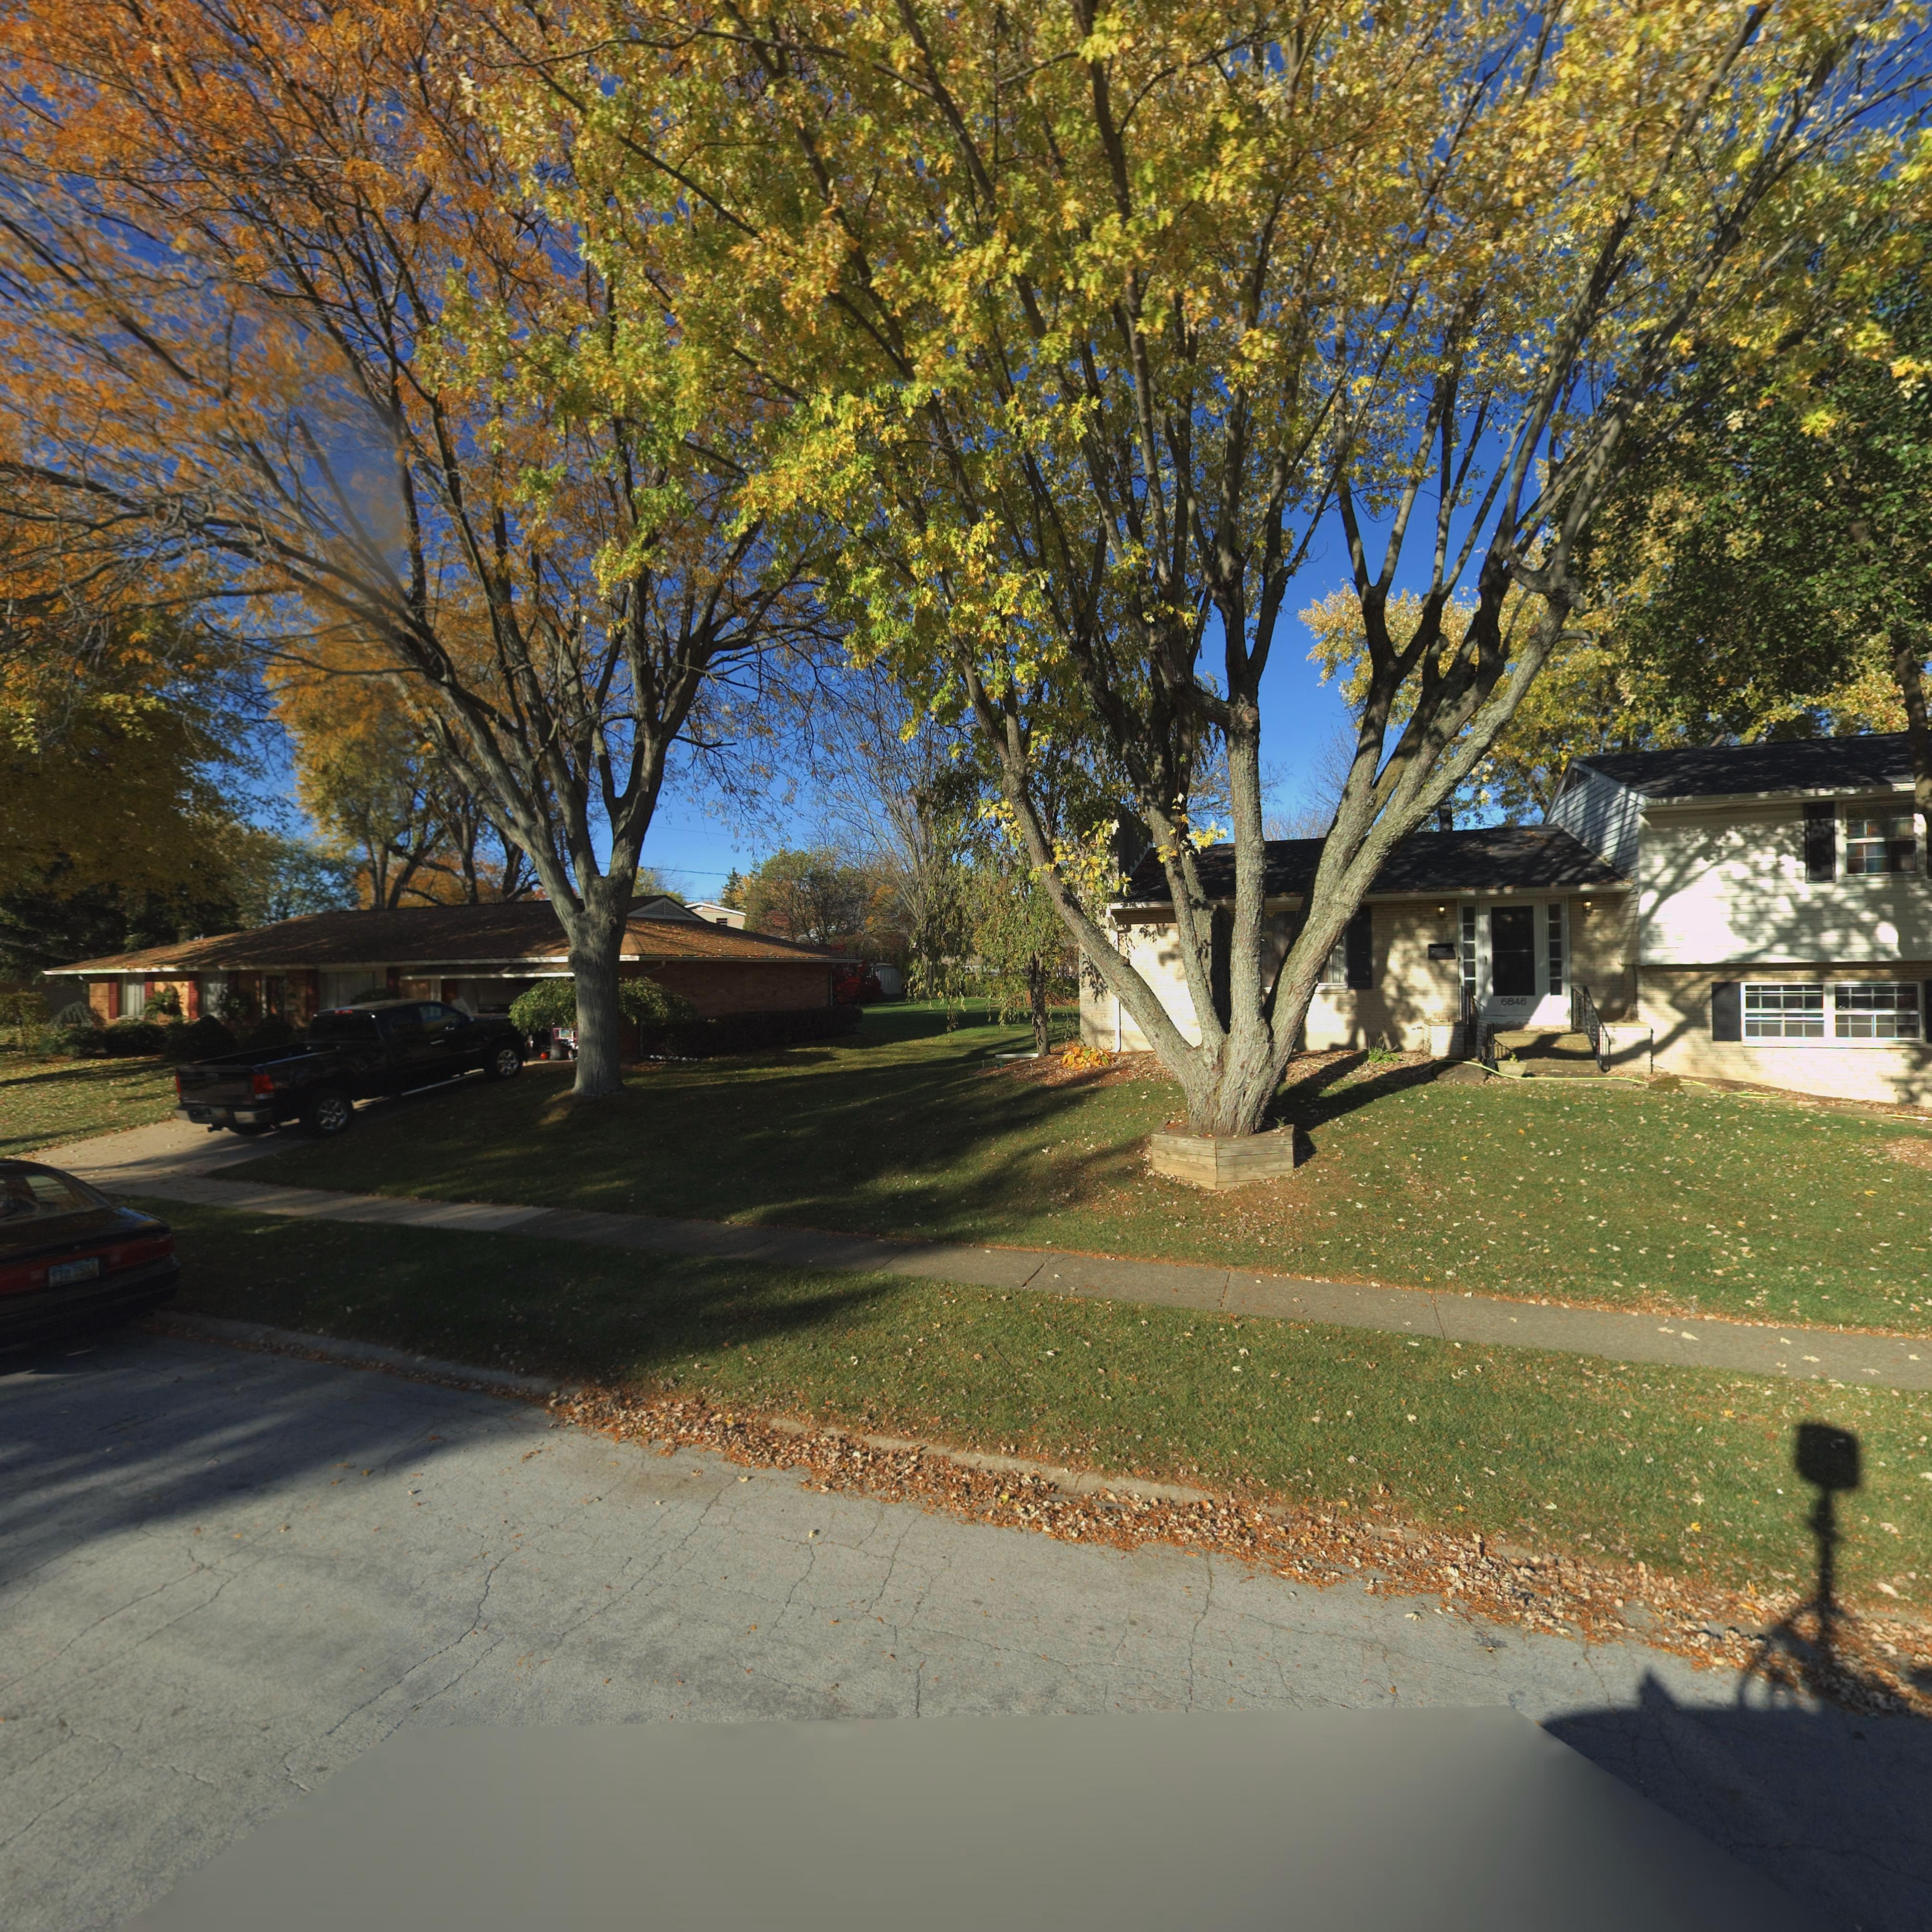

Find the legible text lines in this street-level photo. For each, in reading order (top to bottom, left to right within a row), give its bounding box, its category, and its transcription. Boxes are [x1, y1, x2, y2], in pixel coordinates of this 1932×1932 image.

[1501, 997, 1527, 1005] StreetNumber: 6846